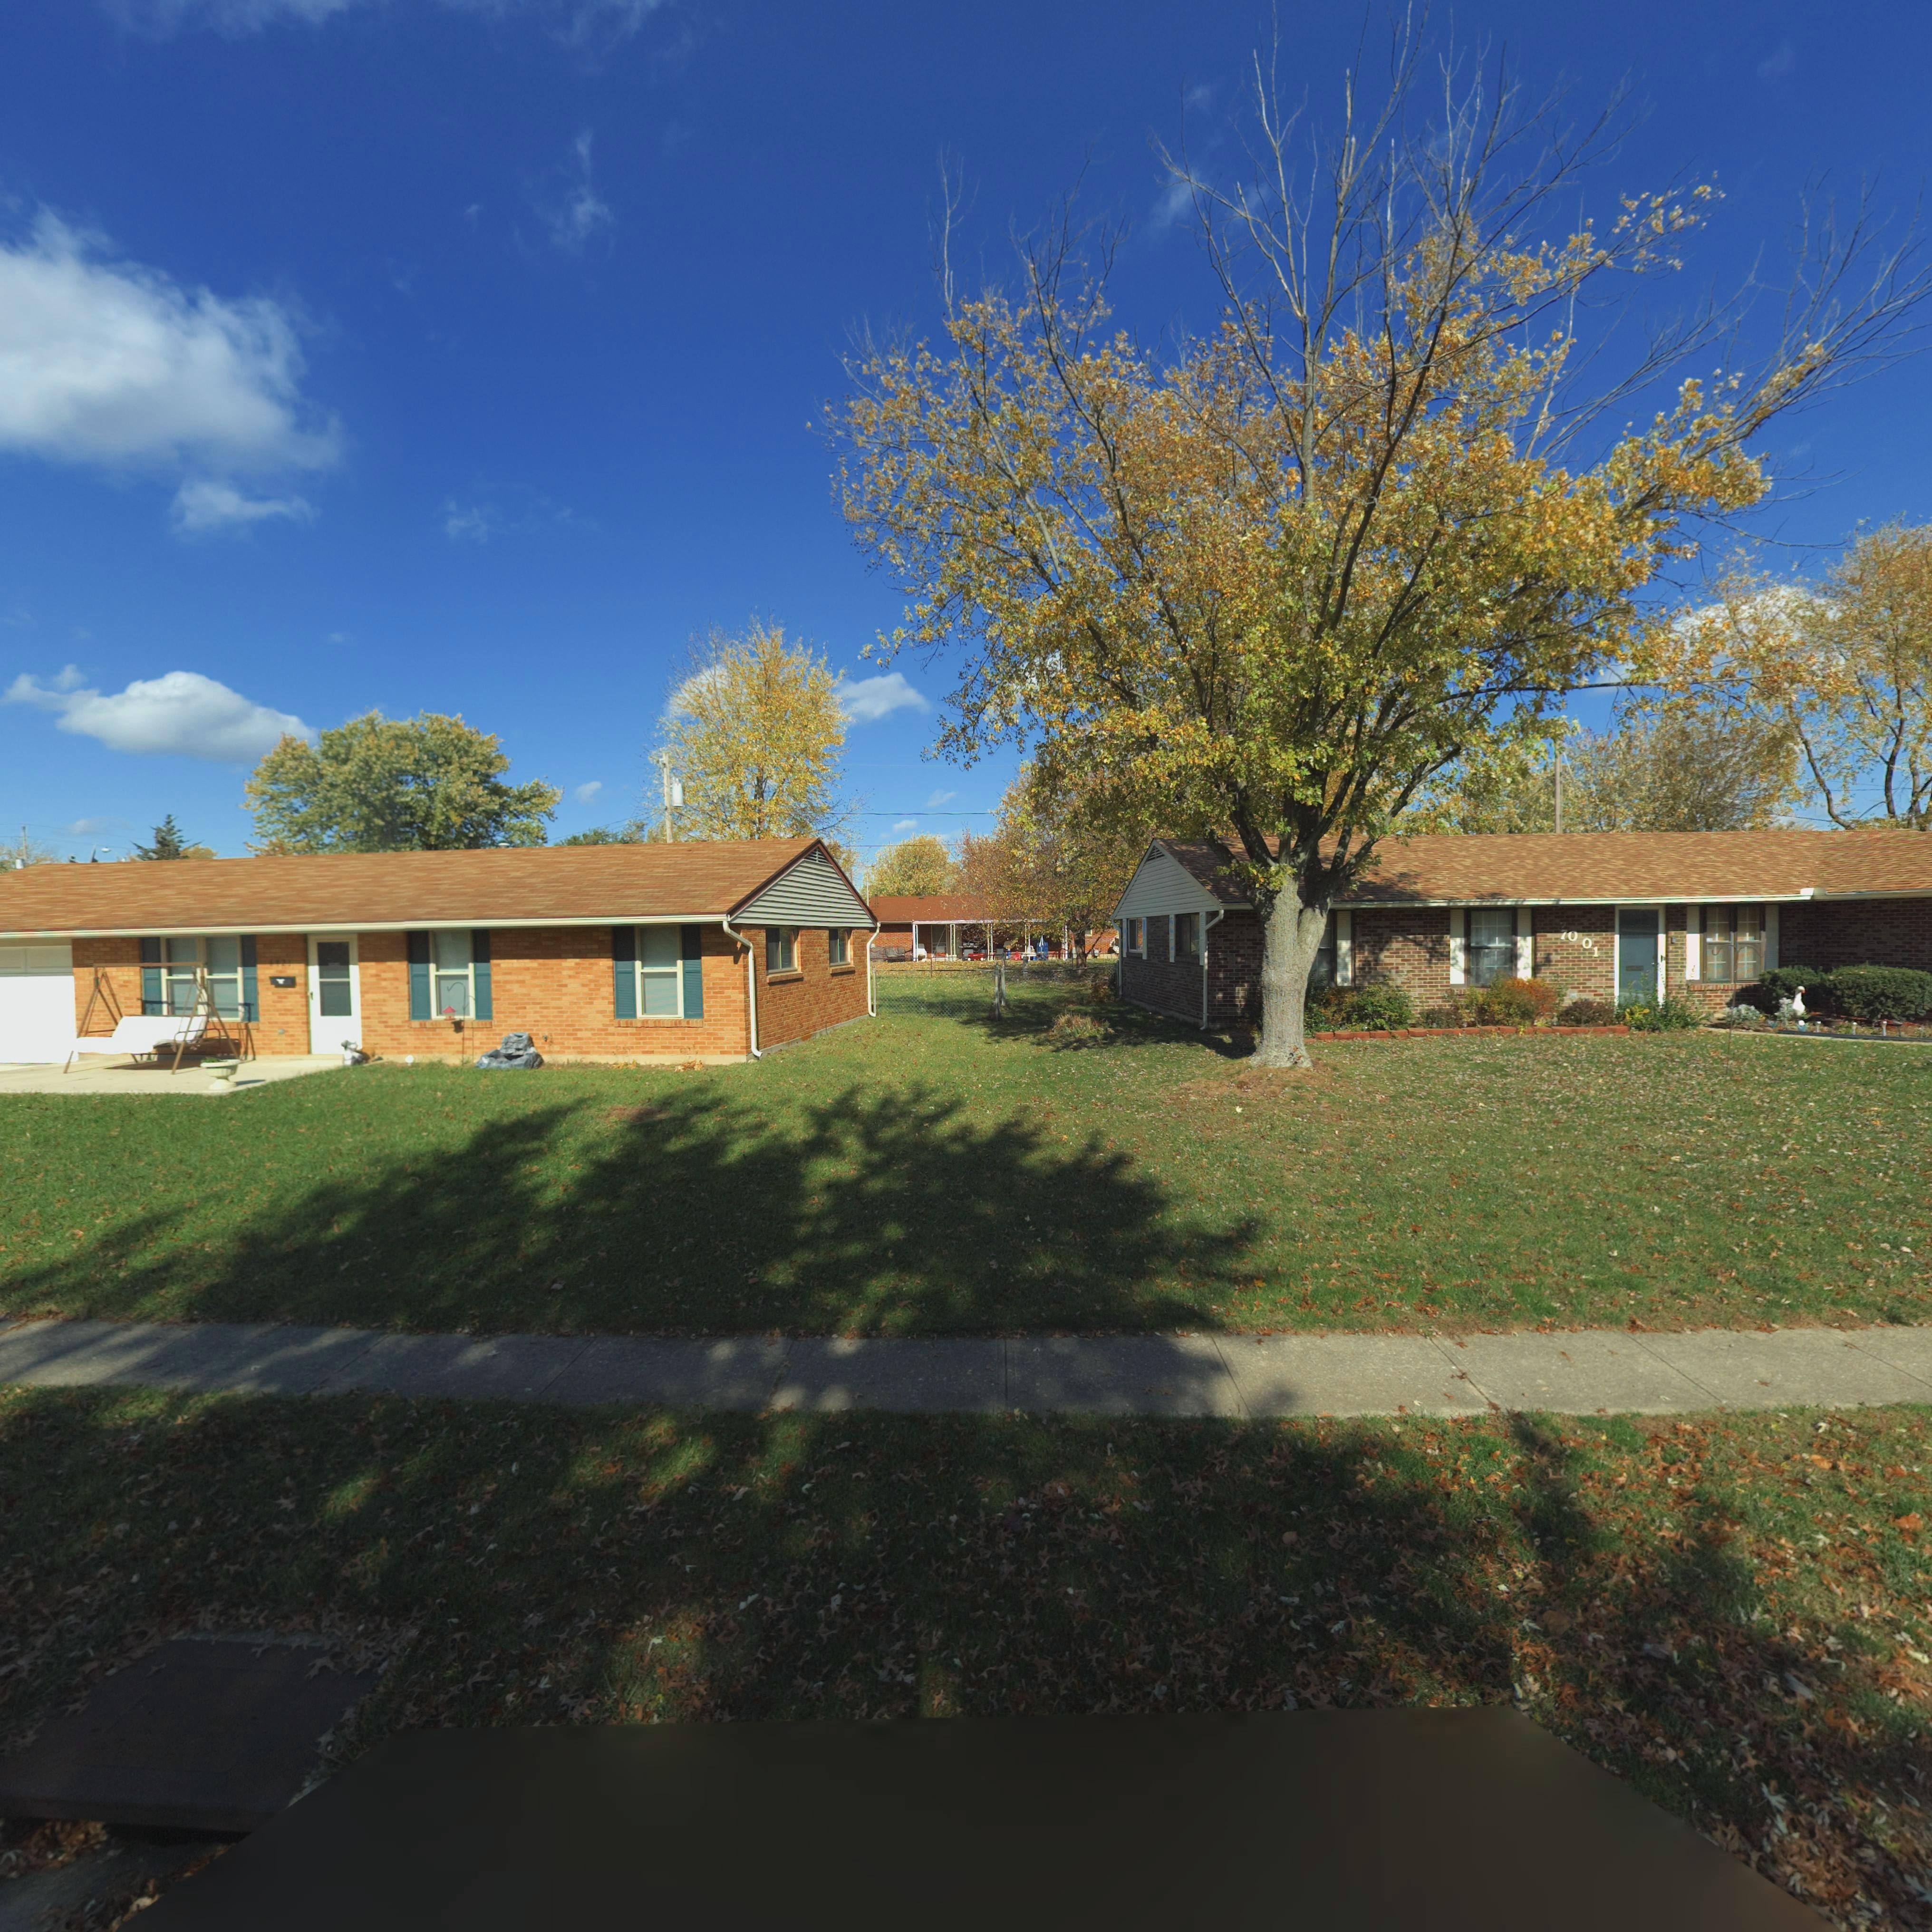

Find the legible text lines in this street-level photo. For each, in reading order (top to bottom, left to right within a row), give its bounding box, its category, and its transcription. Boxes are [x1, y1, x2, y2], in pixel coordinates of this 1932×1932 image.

[1558, 928, 1600, 958] StreetNumber: 7001
[268, 957, 293, 968] StreetNumber: **21